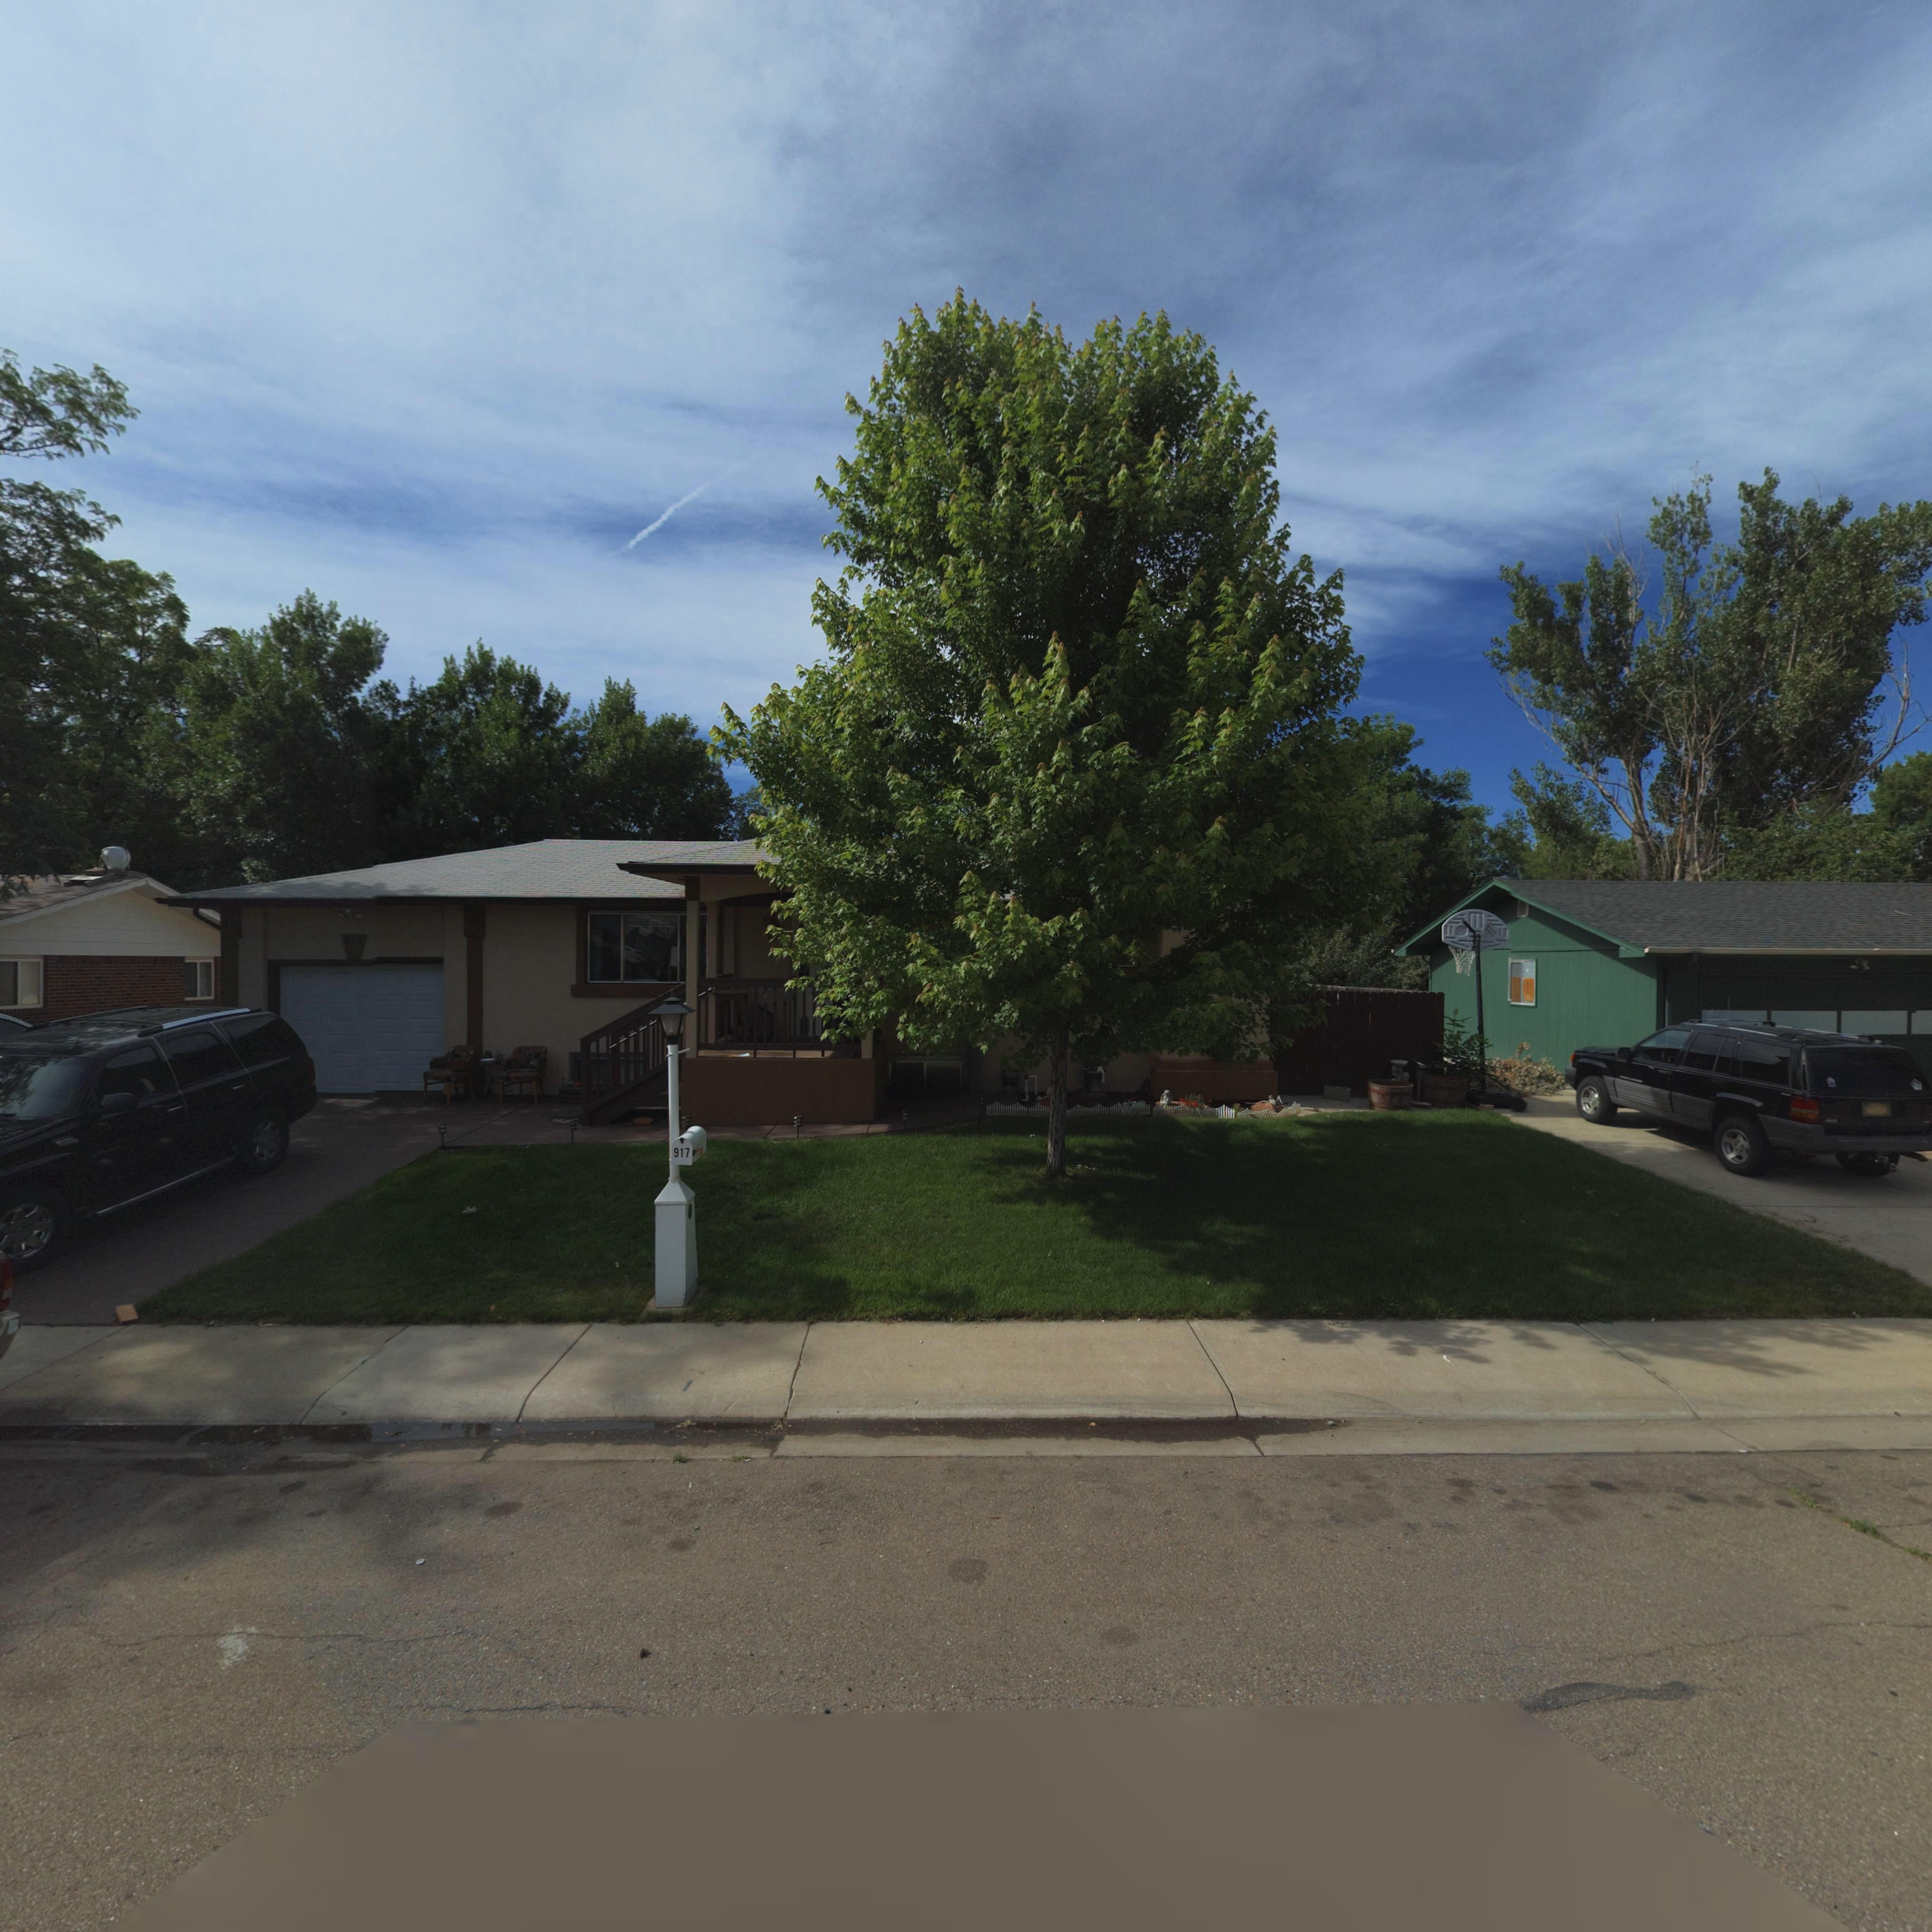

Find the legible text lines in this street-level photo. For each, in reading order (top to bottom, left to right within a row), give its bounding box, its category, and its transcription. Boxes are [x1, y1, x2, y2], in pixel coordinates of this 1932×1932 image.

[342, 935, 365, 945] StreetNumber: 917
[674, 1148, 689, 1158] StreetNumber: 917